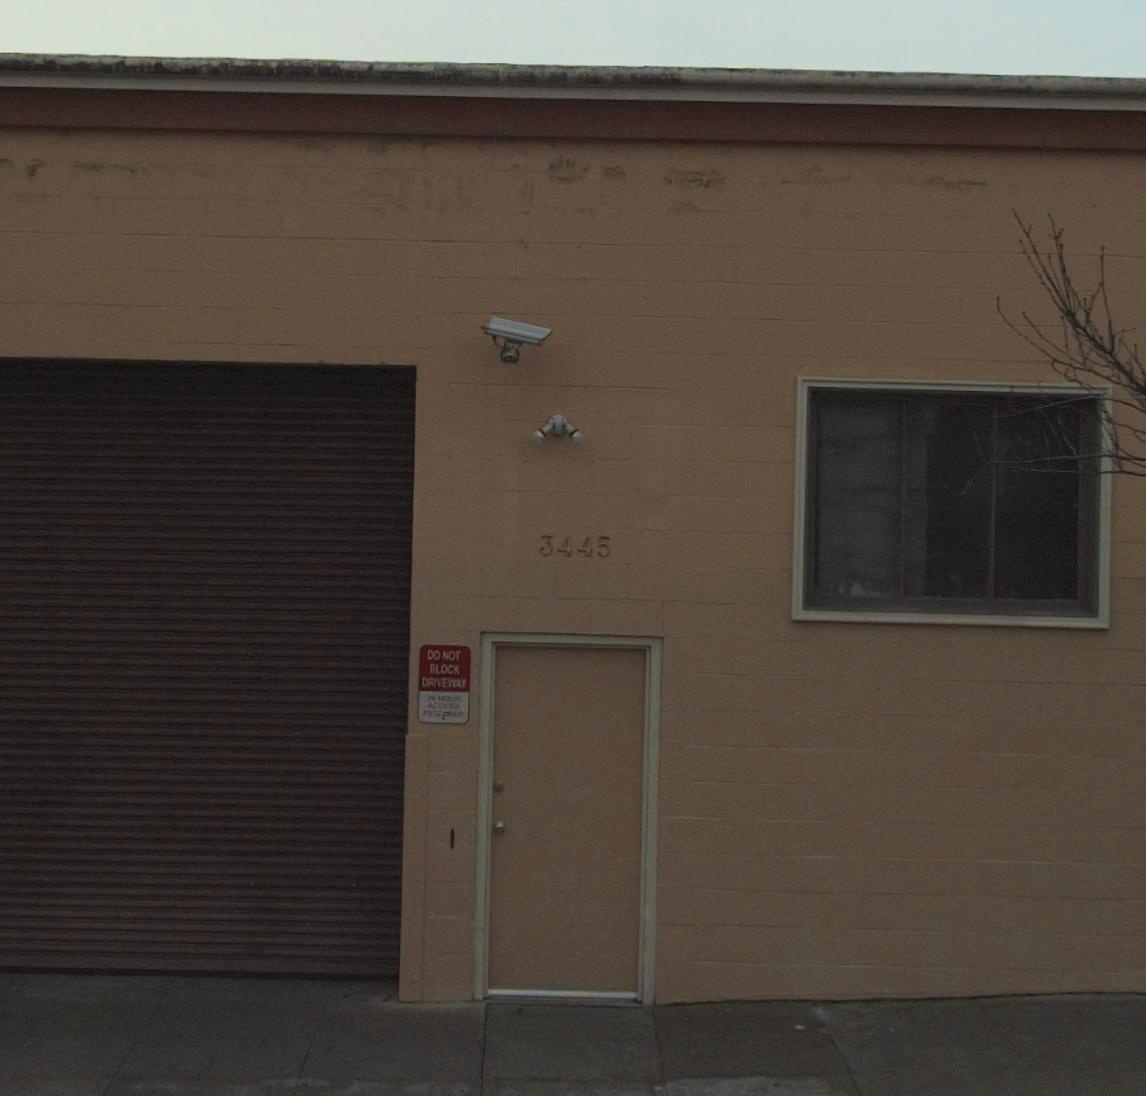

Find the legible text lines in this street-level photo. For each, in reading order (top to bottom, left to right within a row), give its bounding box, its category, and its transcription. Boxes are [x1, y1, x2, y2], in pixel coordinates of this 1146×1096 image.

[537, 531, 612, 559] StreetNumber: 3445
[426, 650, 461, 662] None: DO NOT
[428, 663, 461, 675] None: BLOCK
[420, 676, 467, 689] None: DRIVEWAY